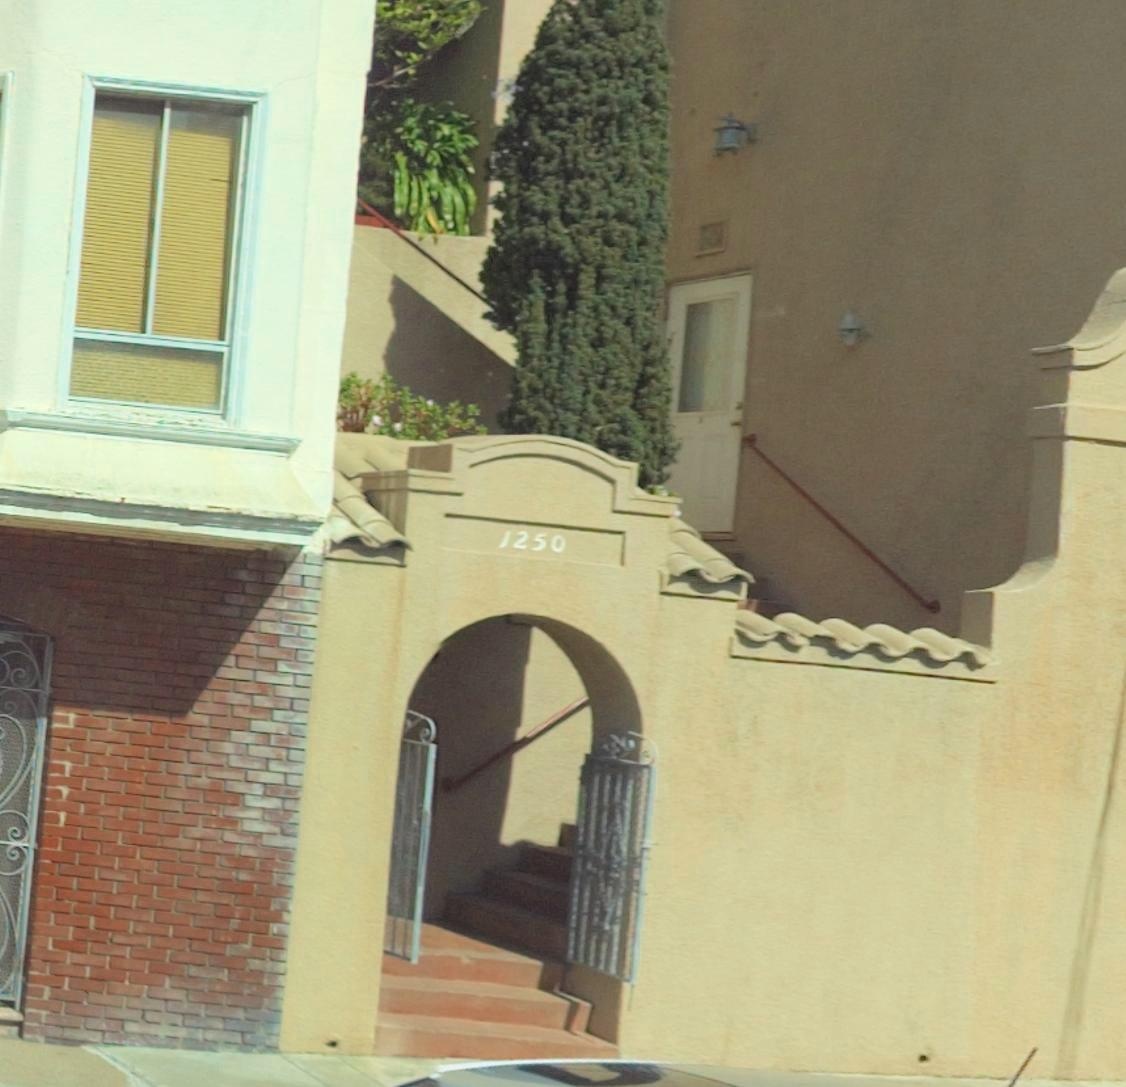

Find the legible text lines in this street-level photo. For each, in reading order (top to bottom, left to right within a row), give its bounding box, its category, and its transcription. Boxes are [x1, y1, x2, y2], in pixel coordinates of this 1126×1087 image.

[495, 527, 569, 555] StreetNumber: 1250